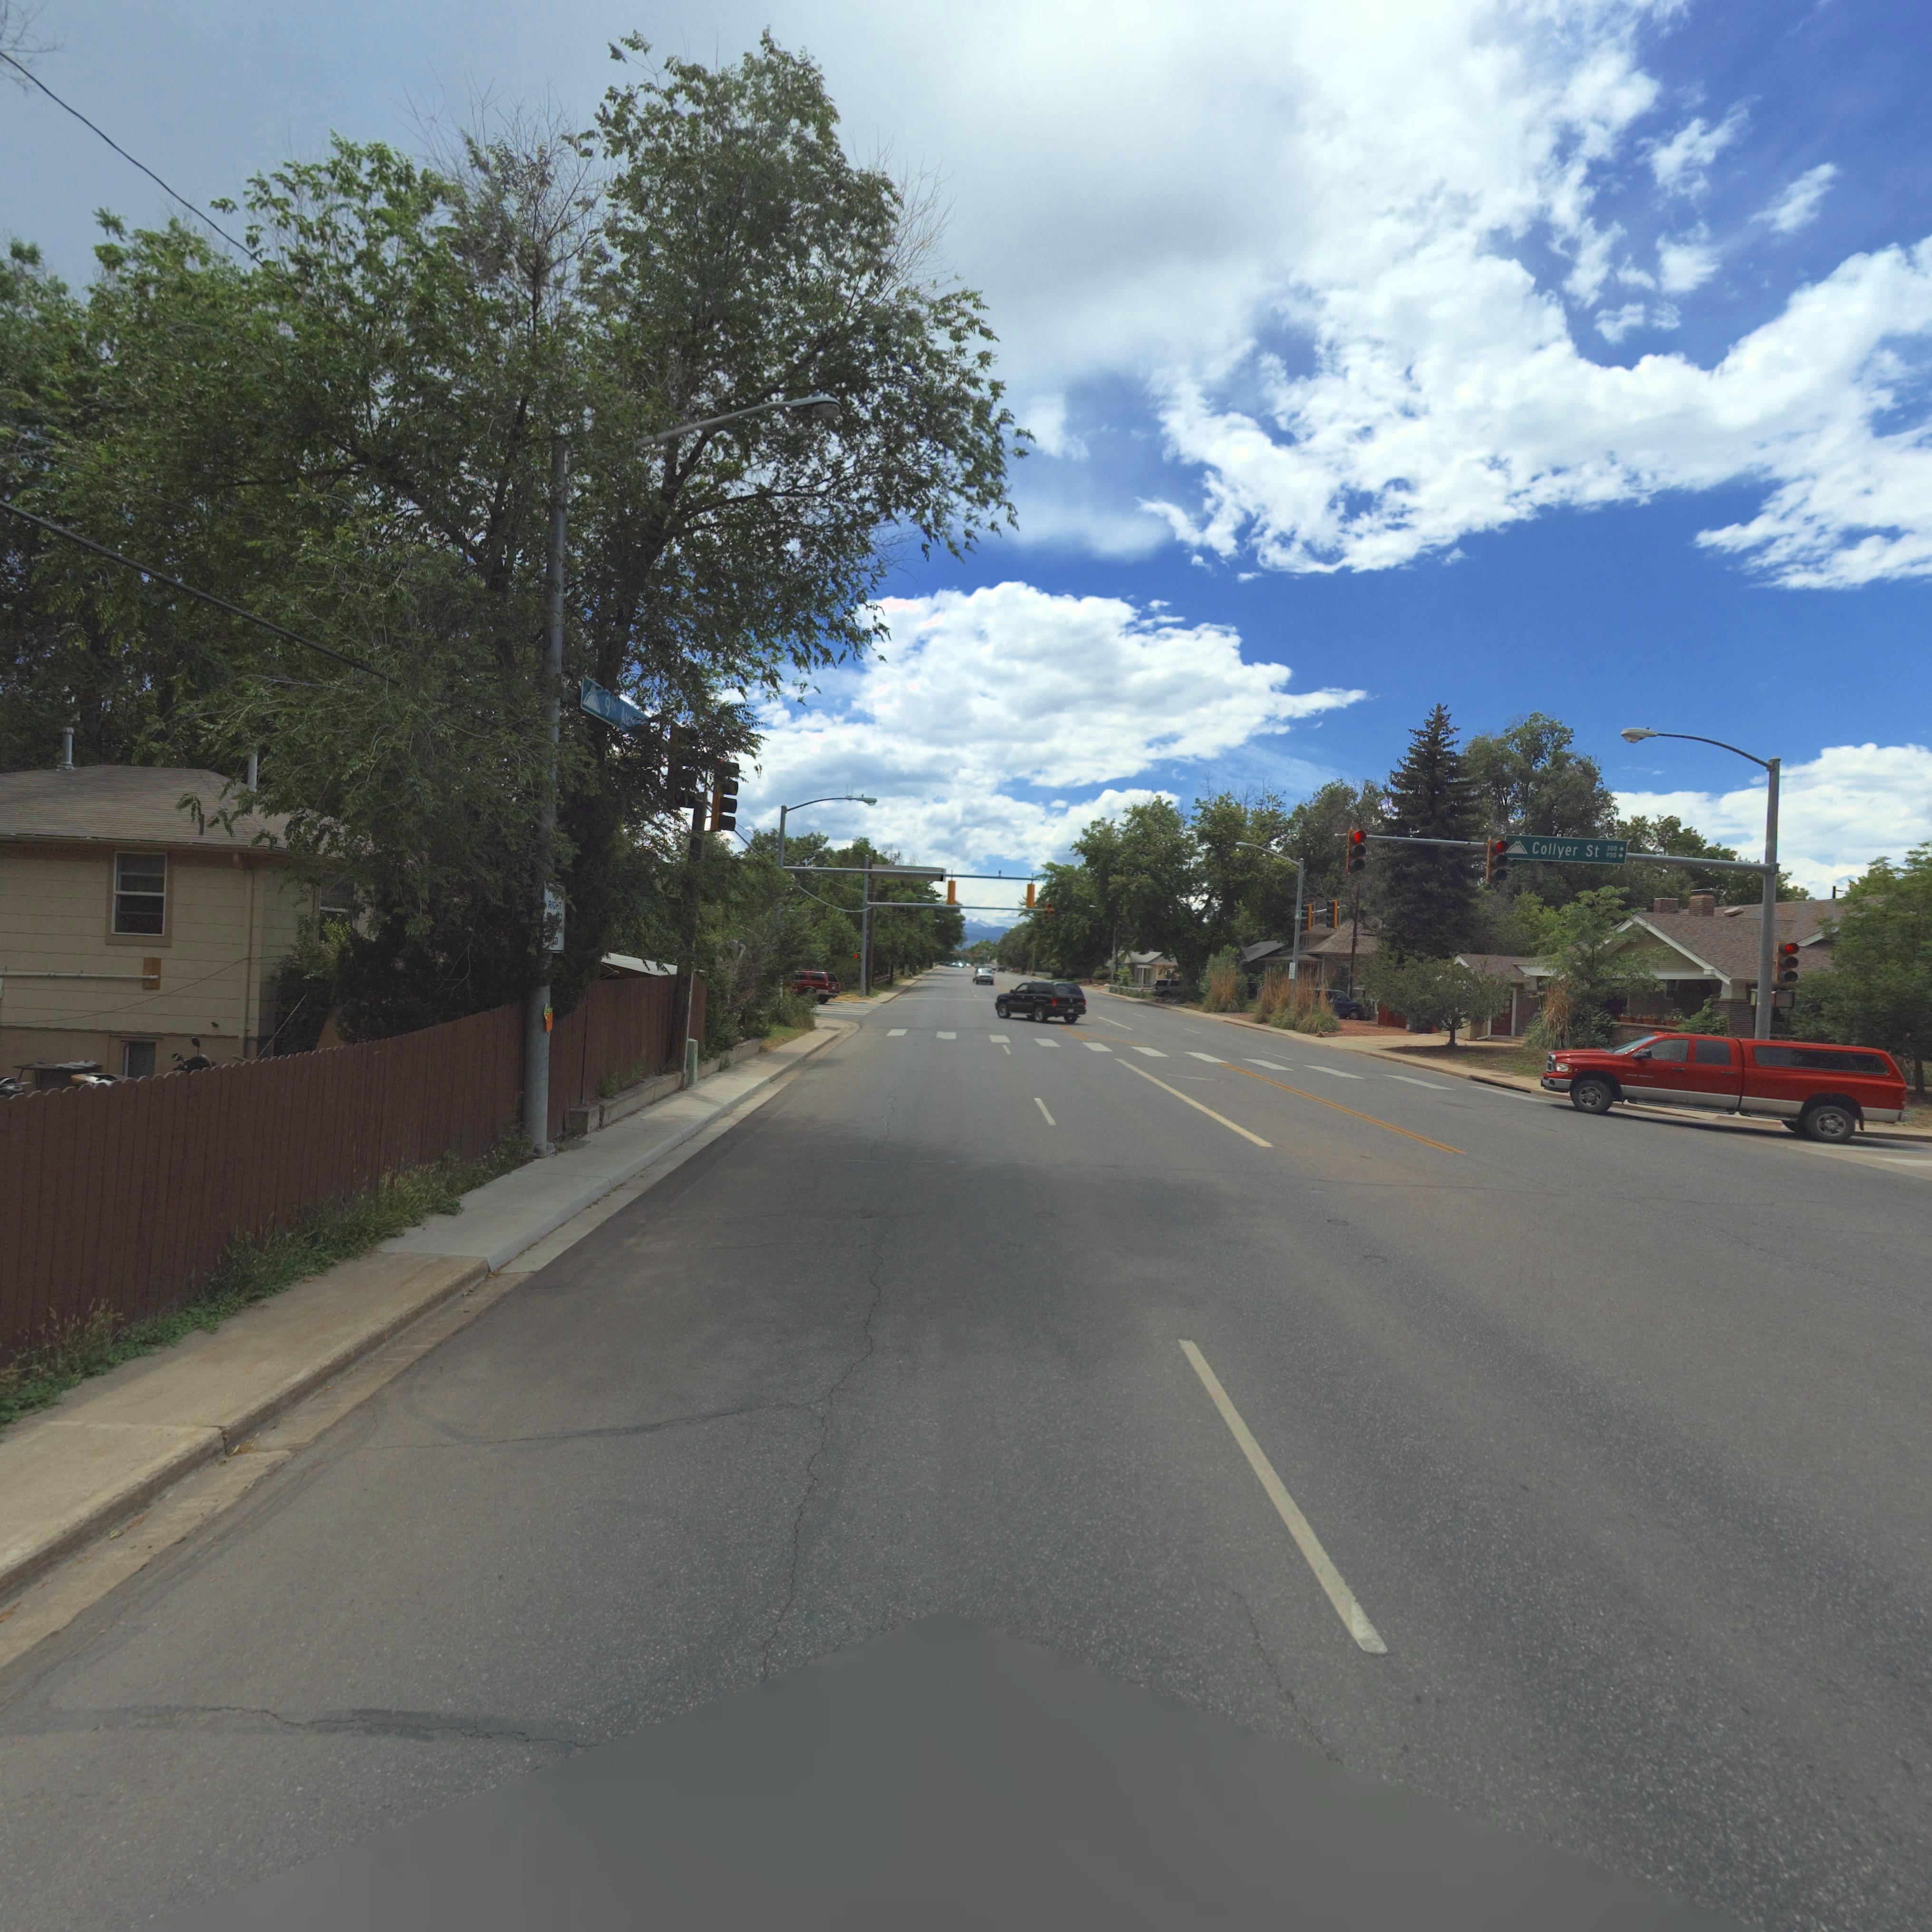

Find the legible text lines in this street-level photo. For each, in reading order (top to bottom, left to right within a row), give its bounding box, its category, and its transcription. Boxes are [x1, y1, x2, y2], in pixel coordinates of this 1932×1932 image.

[603, 695, 635, 731] StreetName: 9th Av*
[1531, 840, 1600, 859] StreetName: Collyer St
[1606, 845, 1617, 851] StreetNumberRange: 300
[1605, 852, 1623, 859] StreetNumberRange: 900 ->
[1299, 911, 1302, 917] StreetName: 9